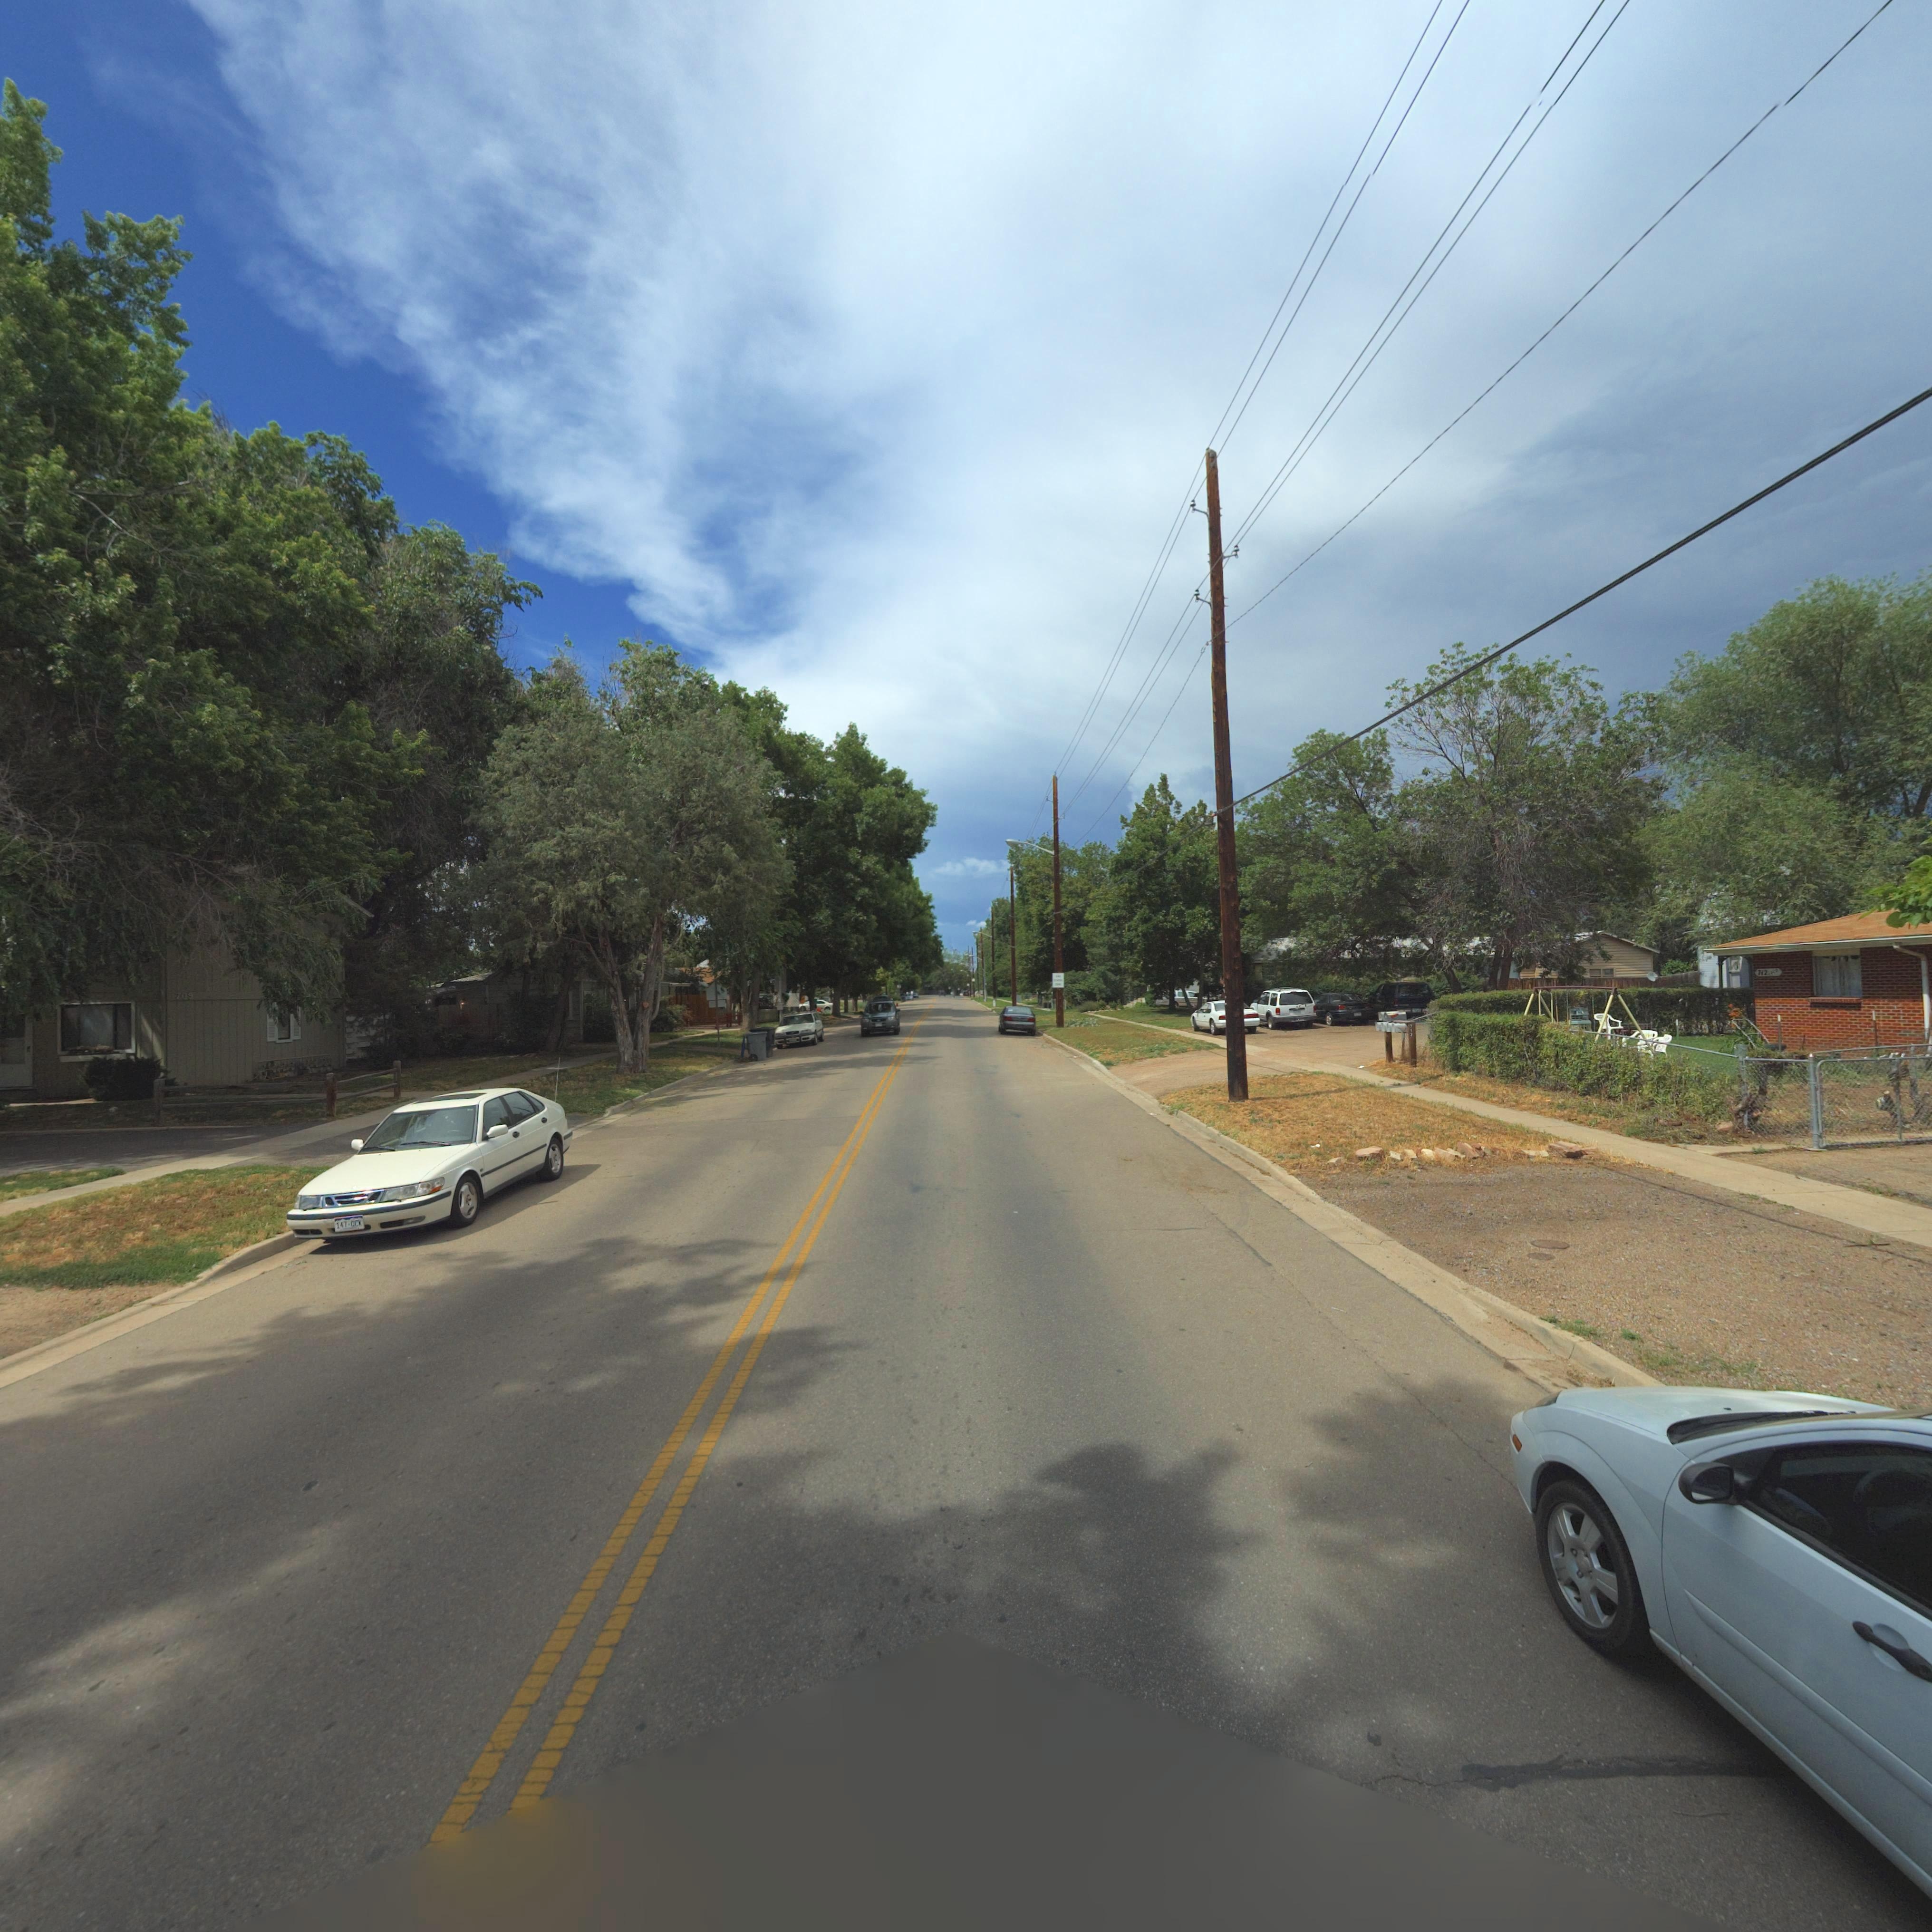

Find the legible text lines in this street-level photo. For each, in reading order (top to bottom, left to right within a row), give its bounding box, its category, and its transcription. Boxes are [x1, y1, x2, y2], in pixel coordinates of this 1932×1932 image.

[1758, 969, 1768, 976] StreetNumber: 712